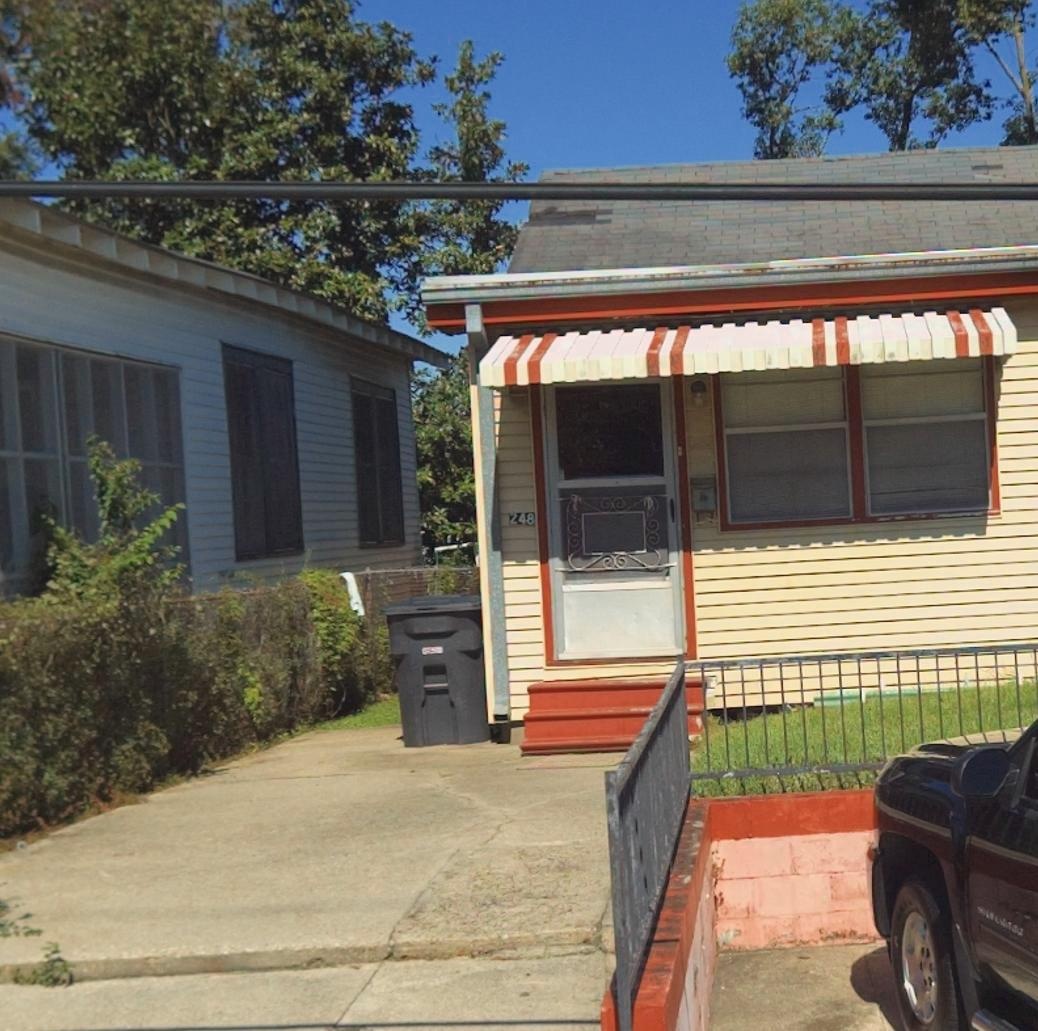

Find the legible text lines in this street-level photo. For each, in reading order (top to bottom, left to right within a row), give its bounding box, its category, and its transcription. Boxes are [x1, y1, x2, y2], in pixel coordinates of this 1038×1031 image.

[509, 512, 535, 525] StreetNumber: 248